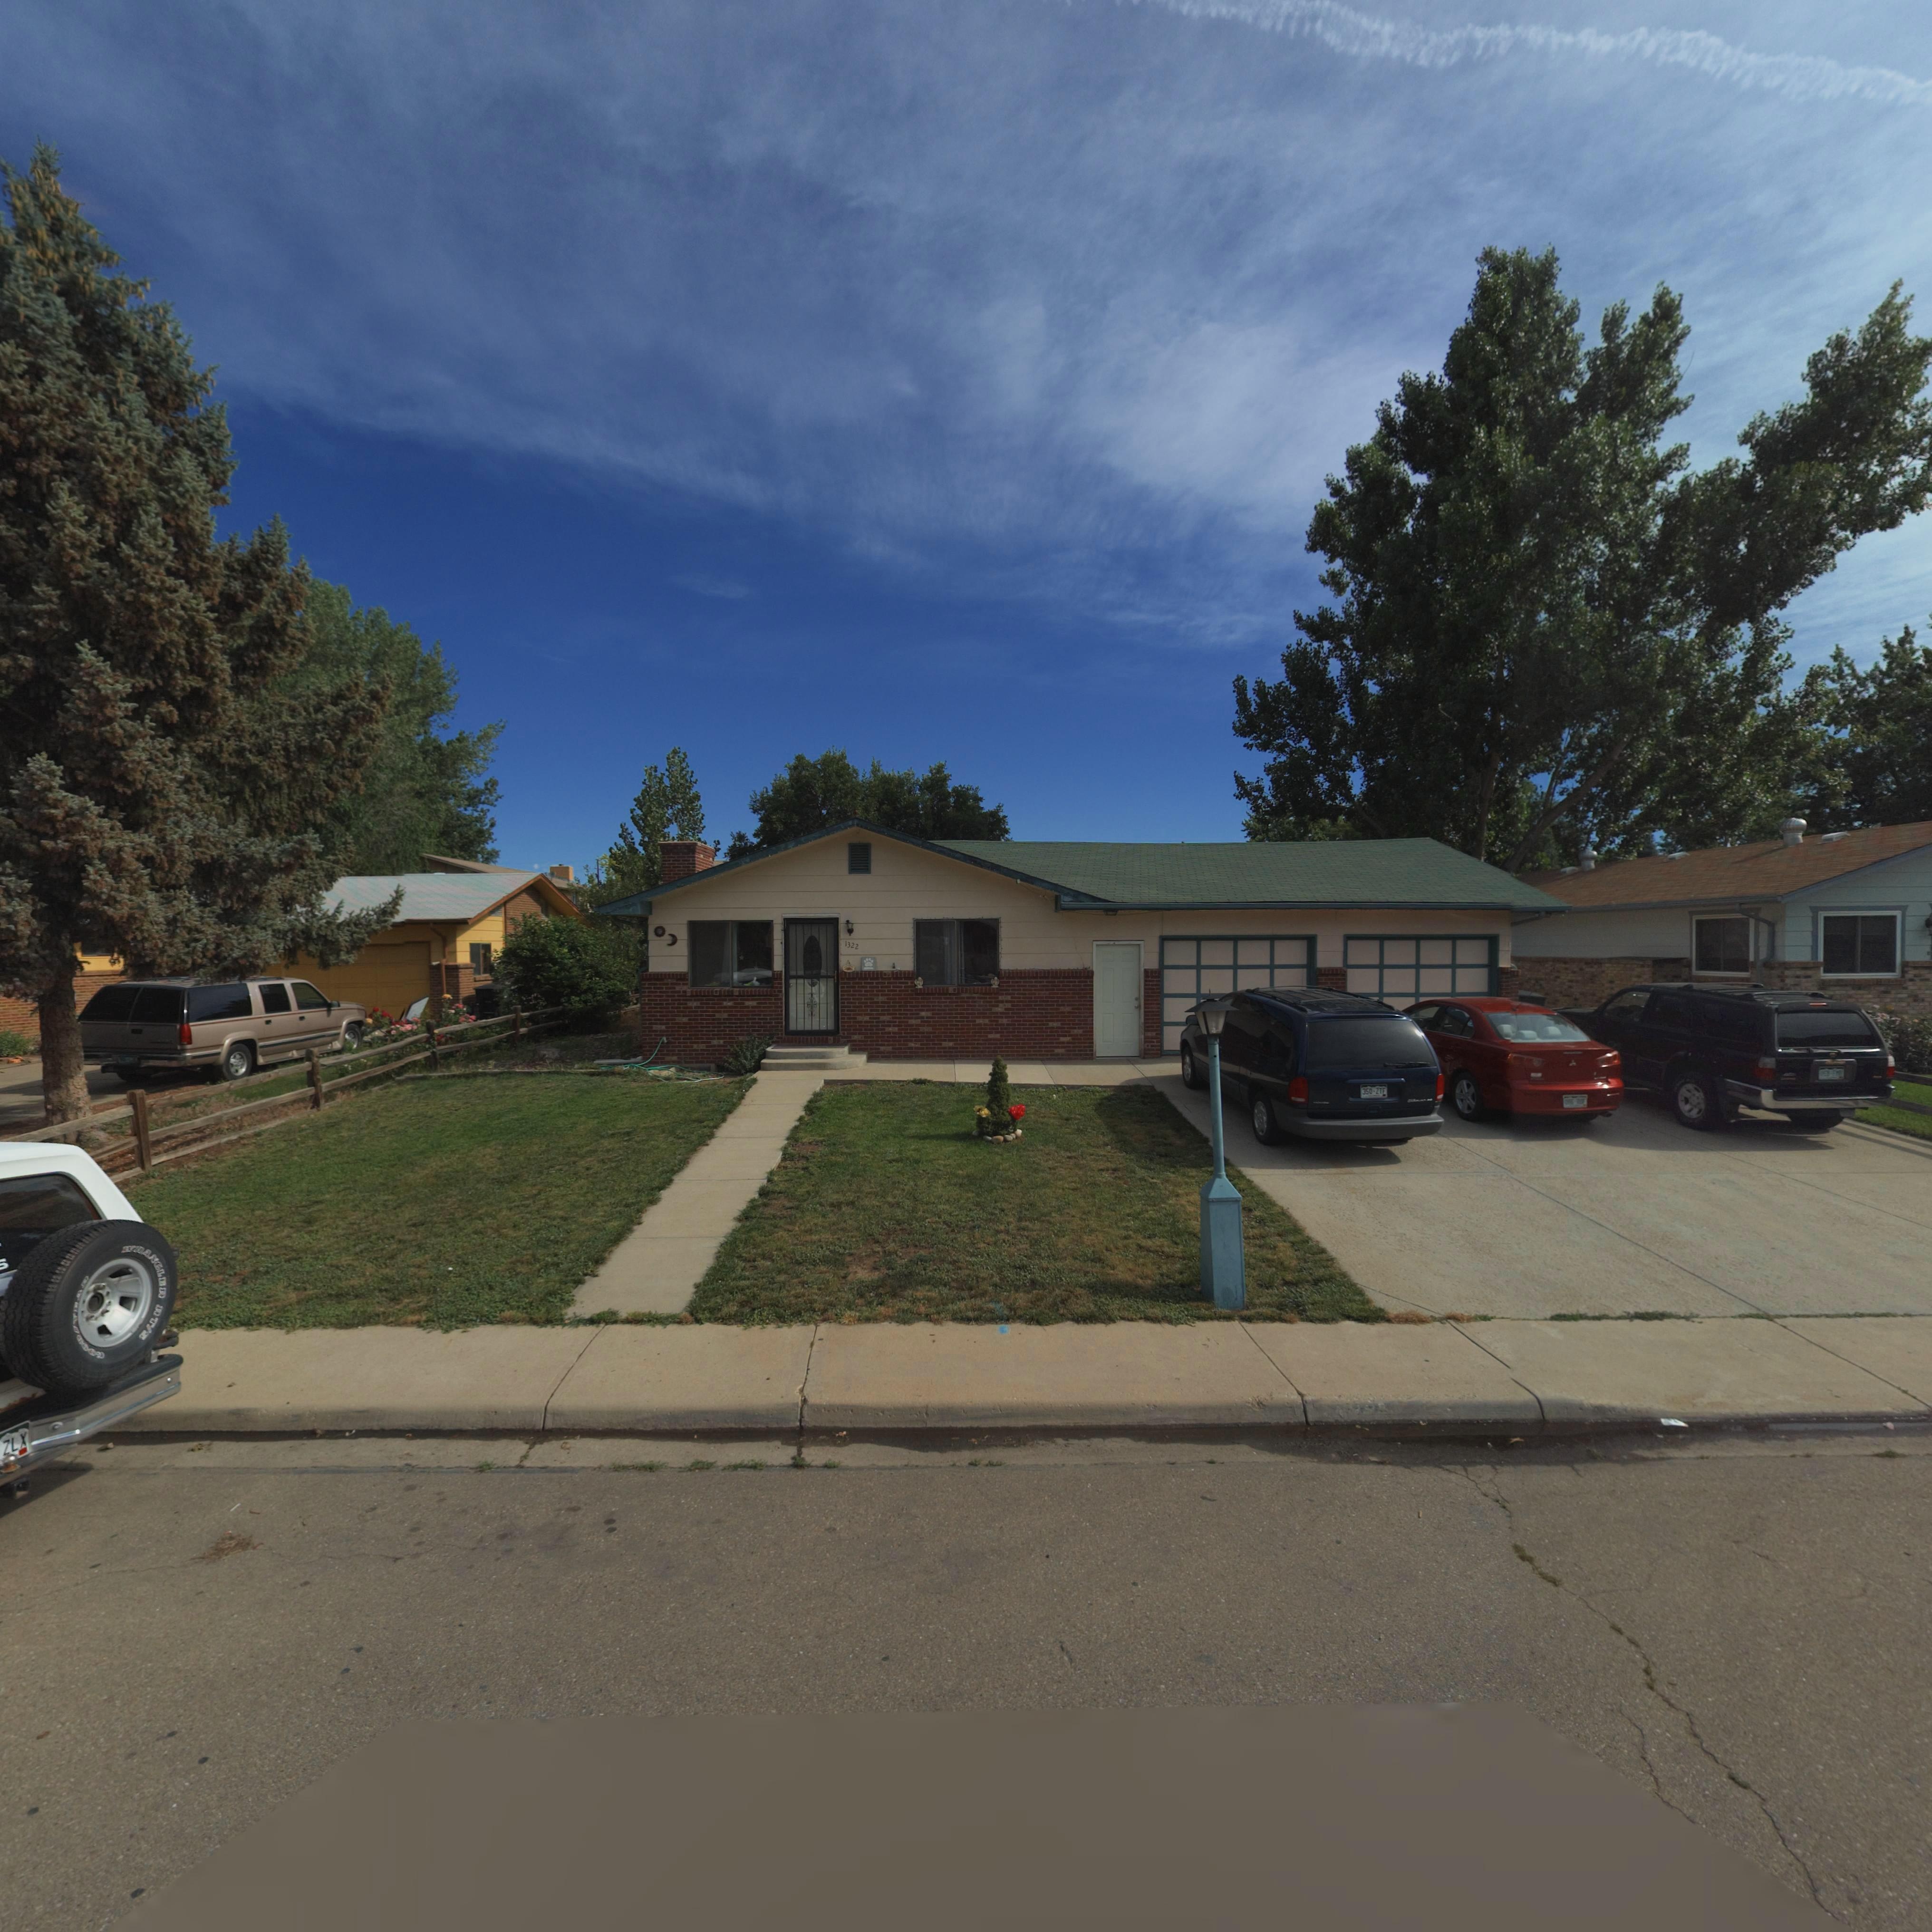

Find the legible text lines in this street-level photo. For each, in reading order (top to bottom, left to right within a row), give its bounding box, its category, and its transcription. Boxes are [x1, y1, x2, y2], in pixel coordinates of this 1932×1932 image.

[845, 940, 859, 950] StreetNumber: 1322